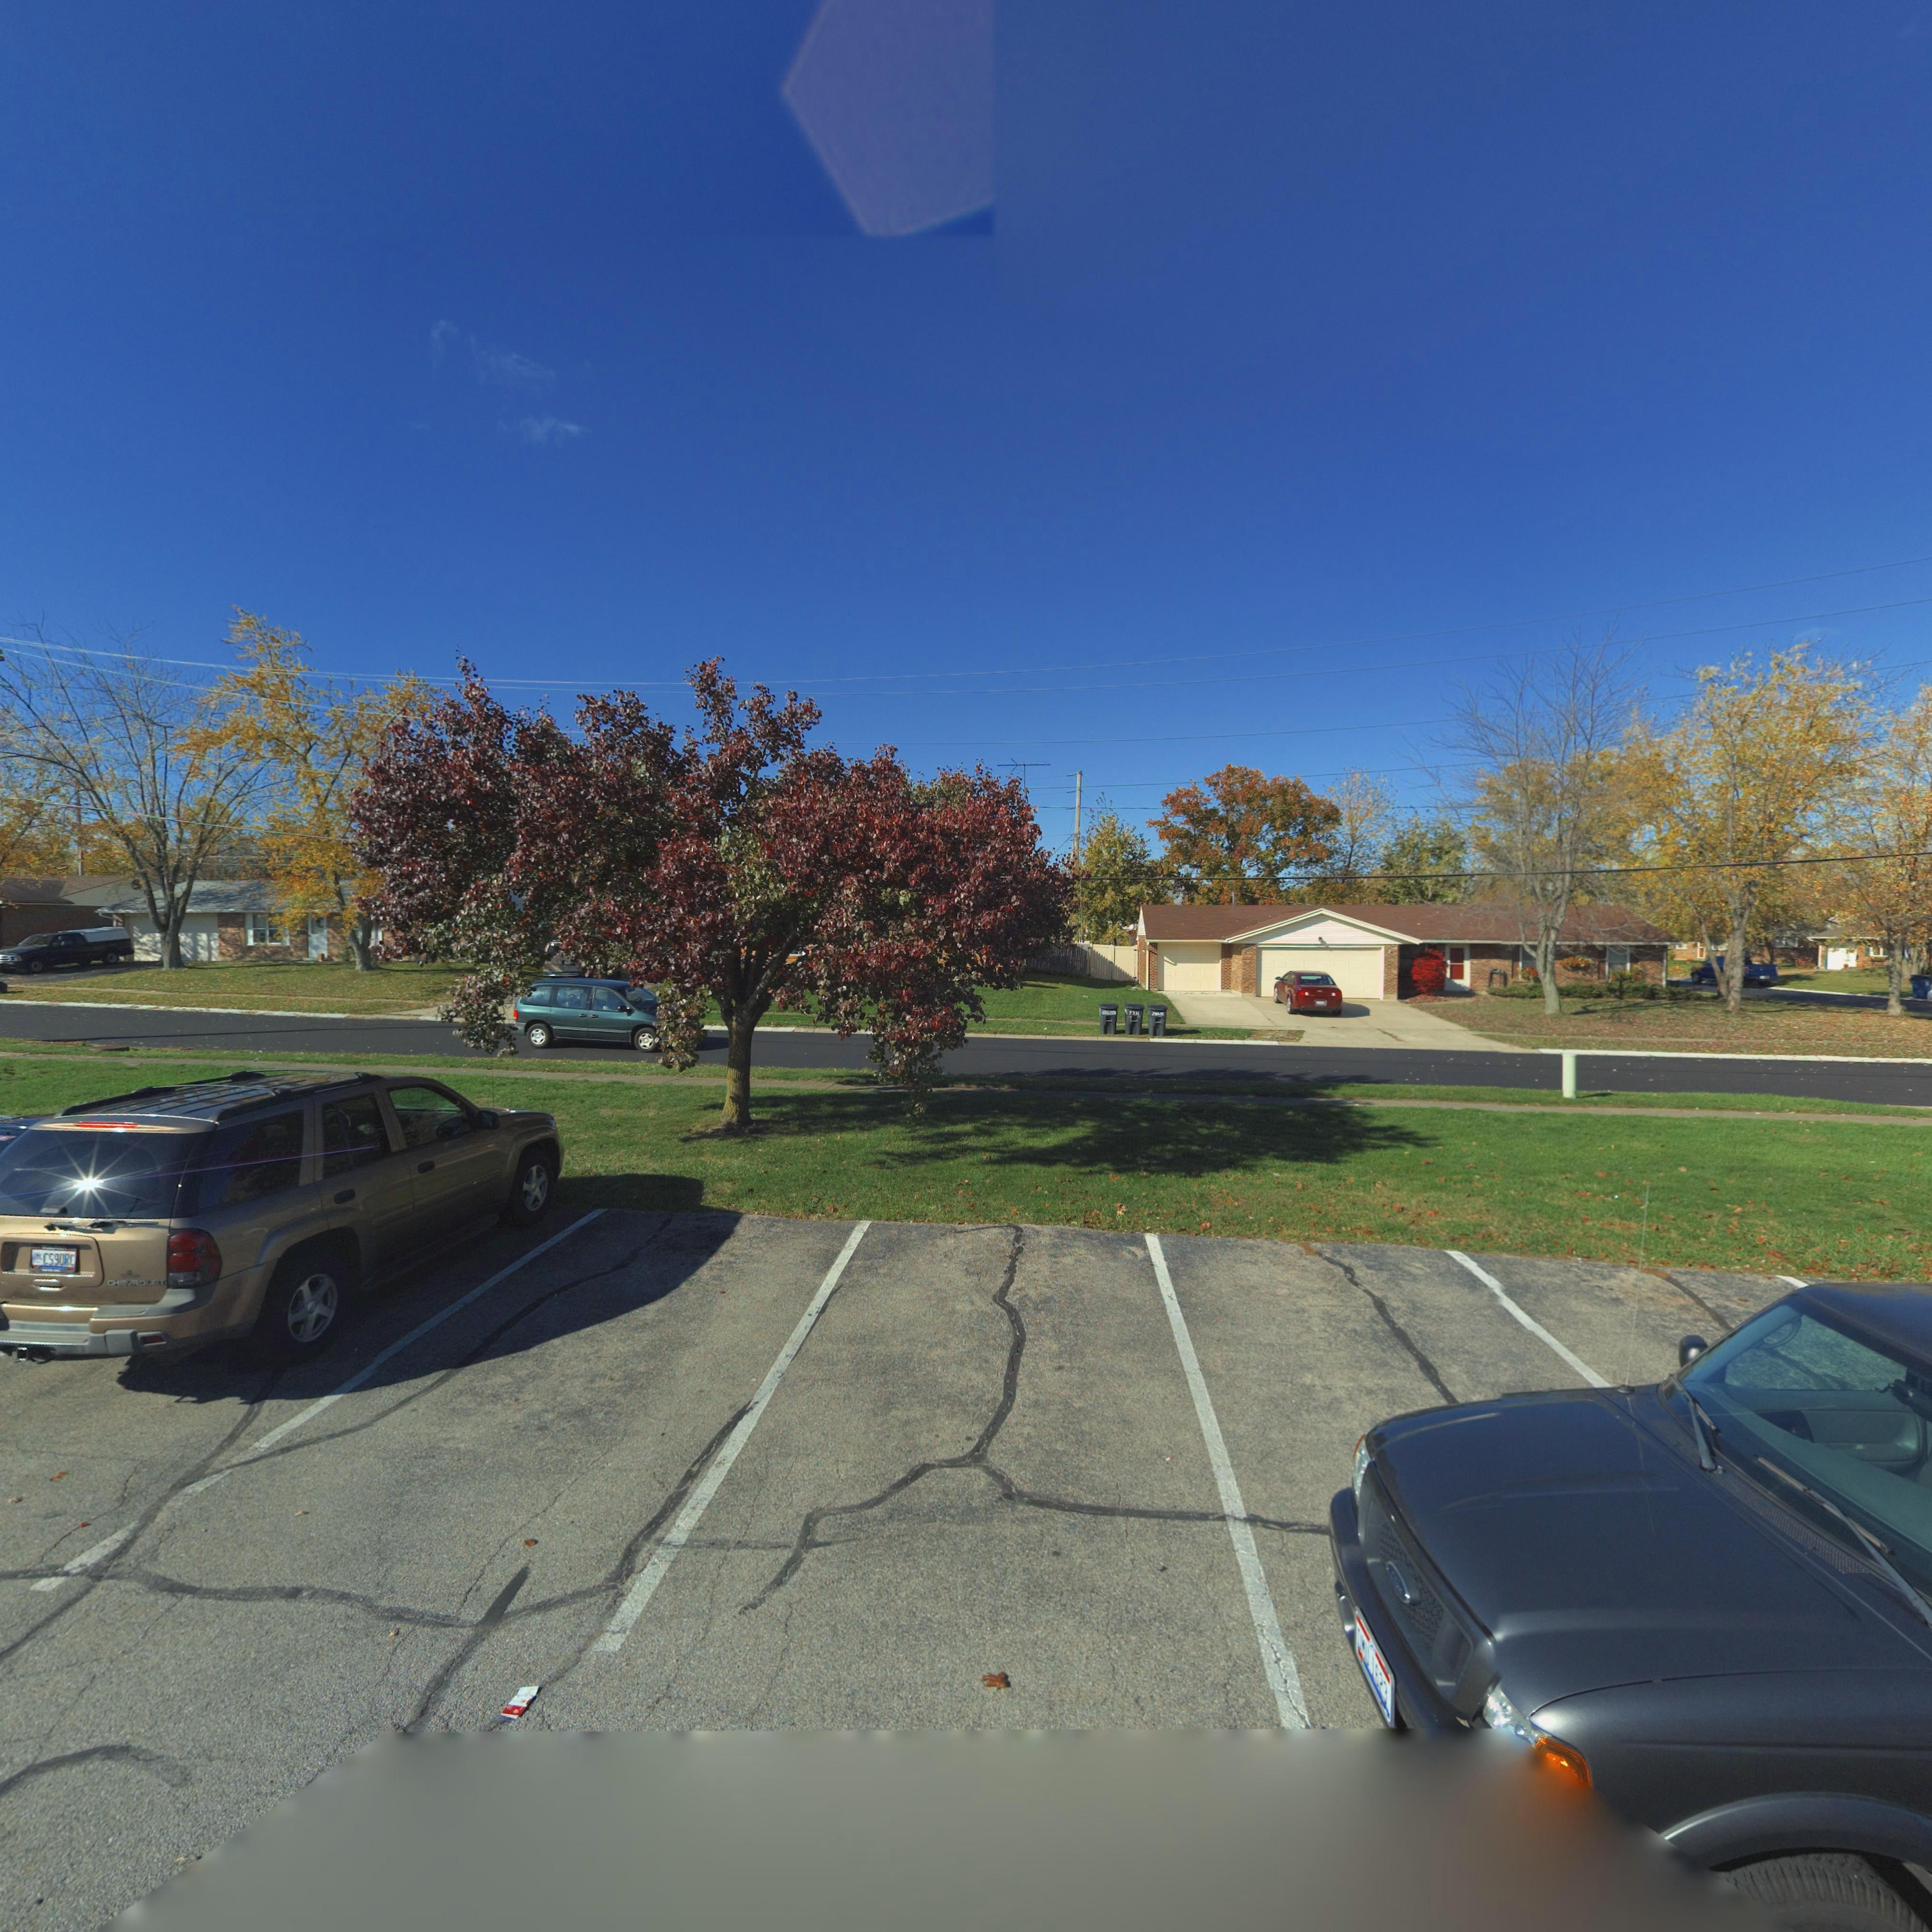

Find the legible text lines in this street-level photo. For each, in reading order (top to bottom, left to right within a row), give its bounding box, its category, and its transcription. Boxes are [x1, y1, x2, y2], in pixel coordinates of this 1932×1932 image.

[1129, 1010, 1140, 1016] StreetNumber: 7531
[1151, 1012, 1155, 1016] StreetNumber: 7